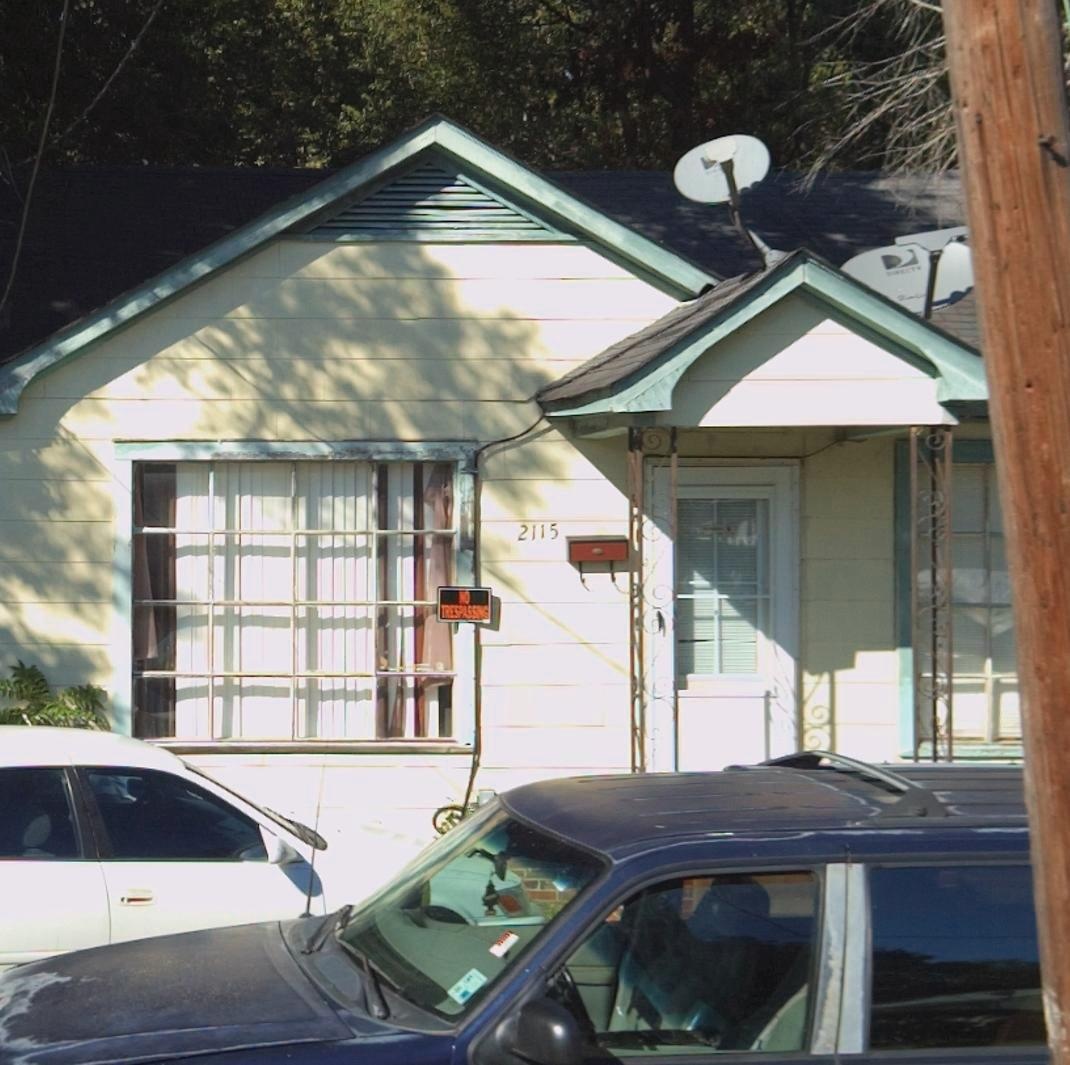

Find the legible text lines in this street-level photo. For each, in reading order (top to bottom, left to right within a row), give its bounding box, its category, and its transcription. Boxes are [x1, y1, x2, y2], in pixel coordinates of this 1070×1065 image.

[517, 521, 560, 542] StreetNumber: 2115
[457, 588, 470, 603] None: NO
[439, 603, 488, 619] None: TRESPASSING